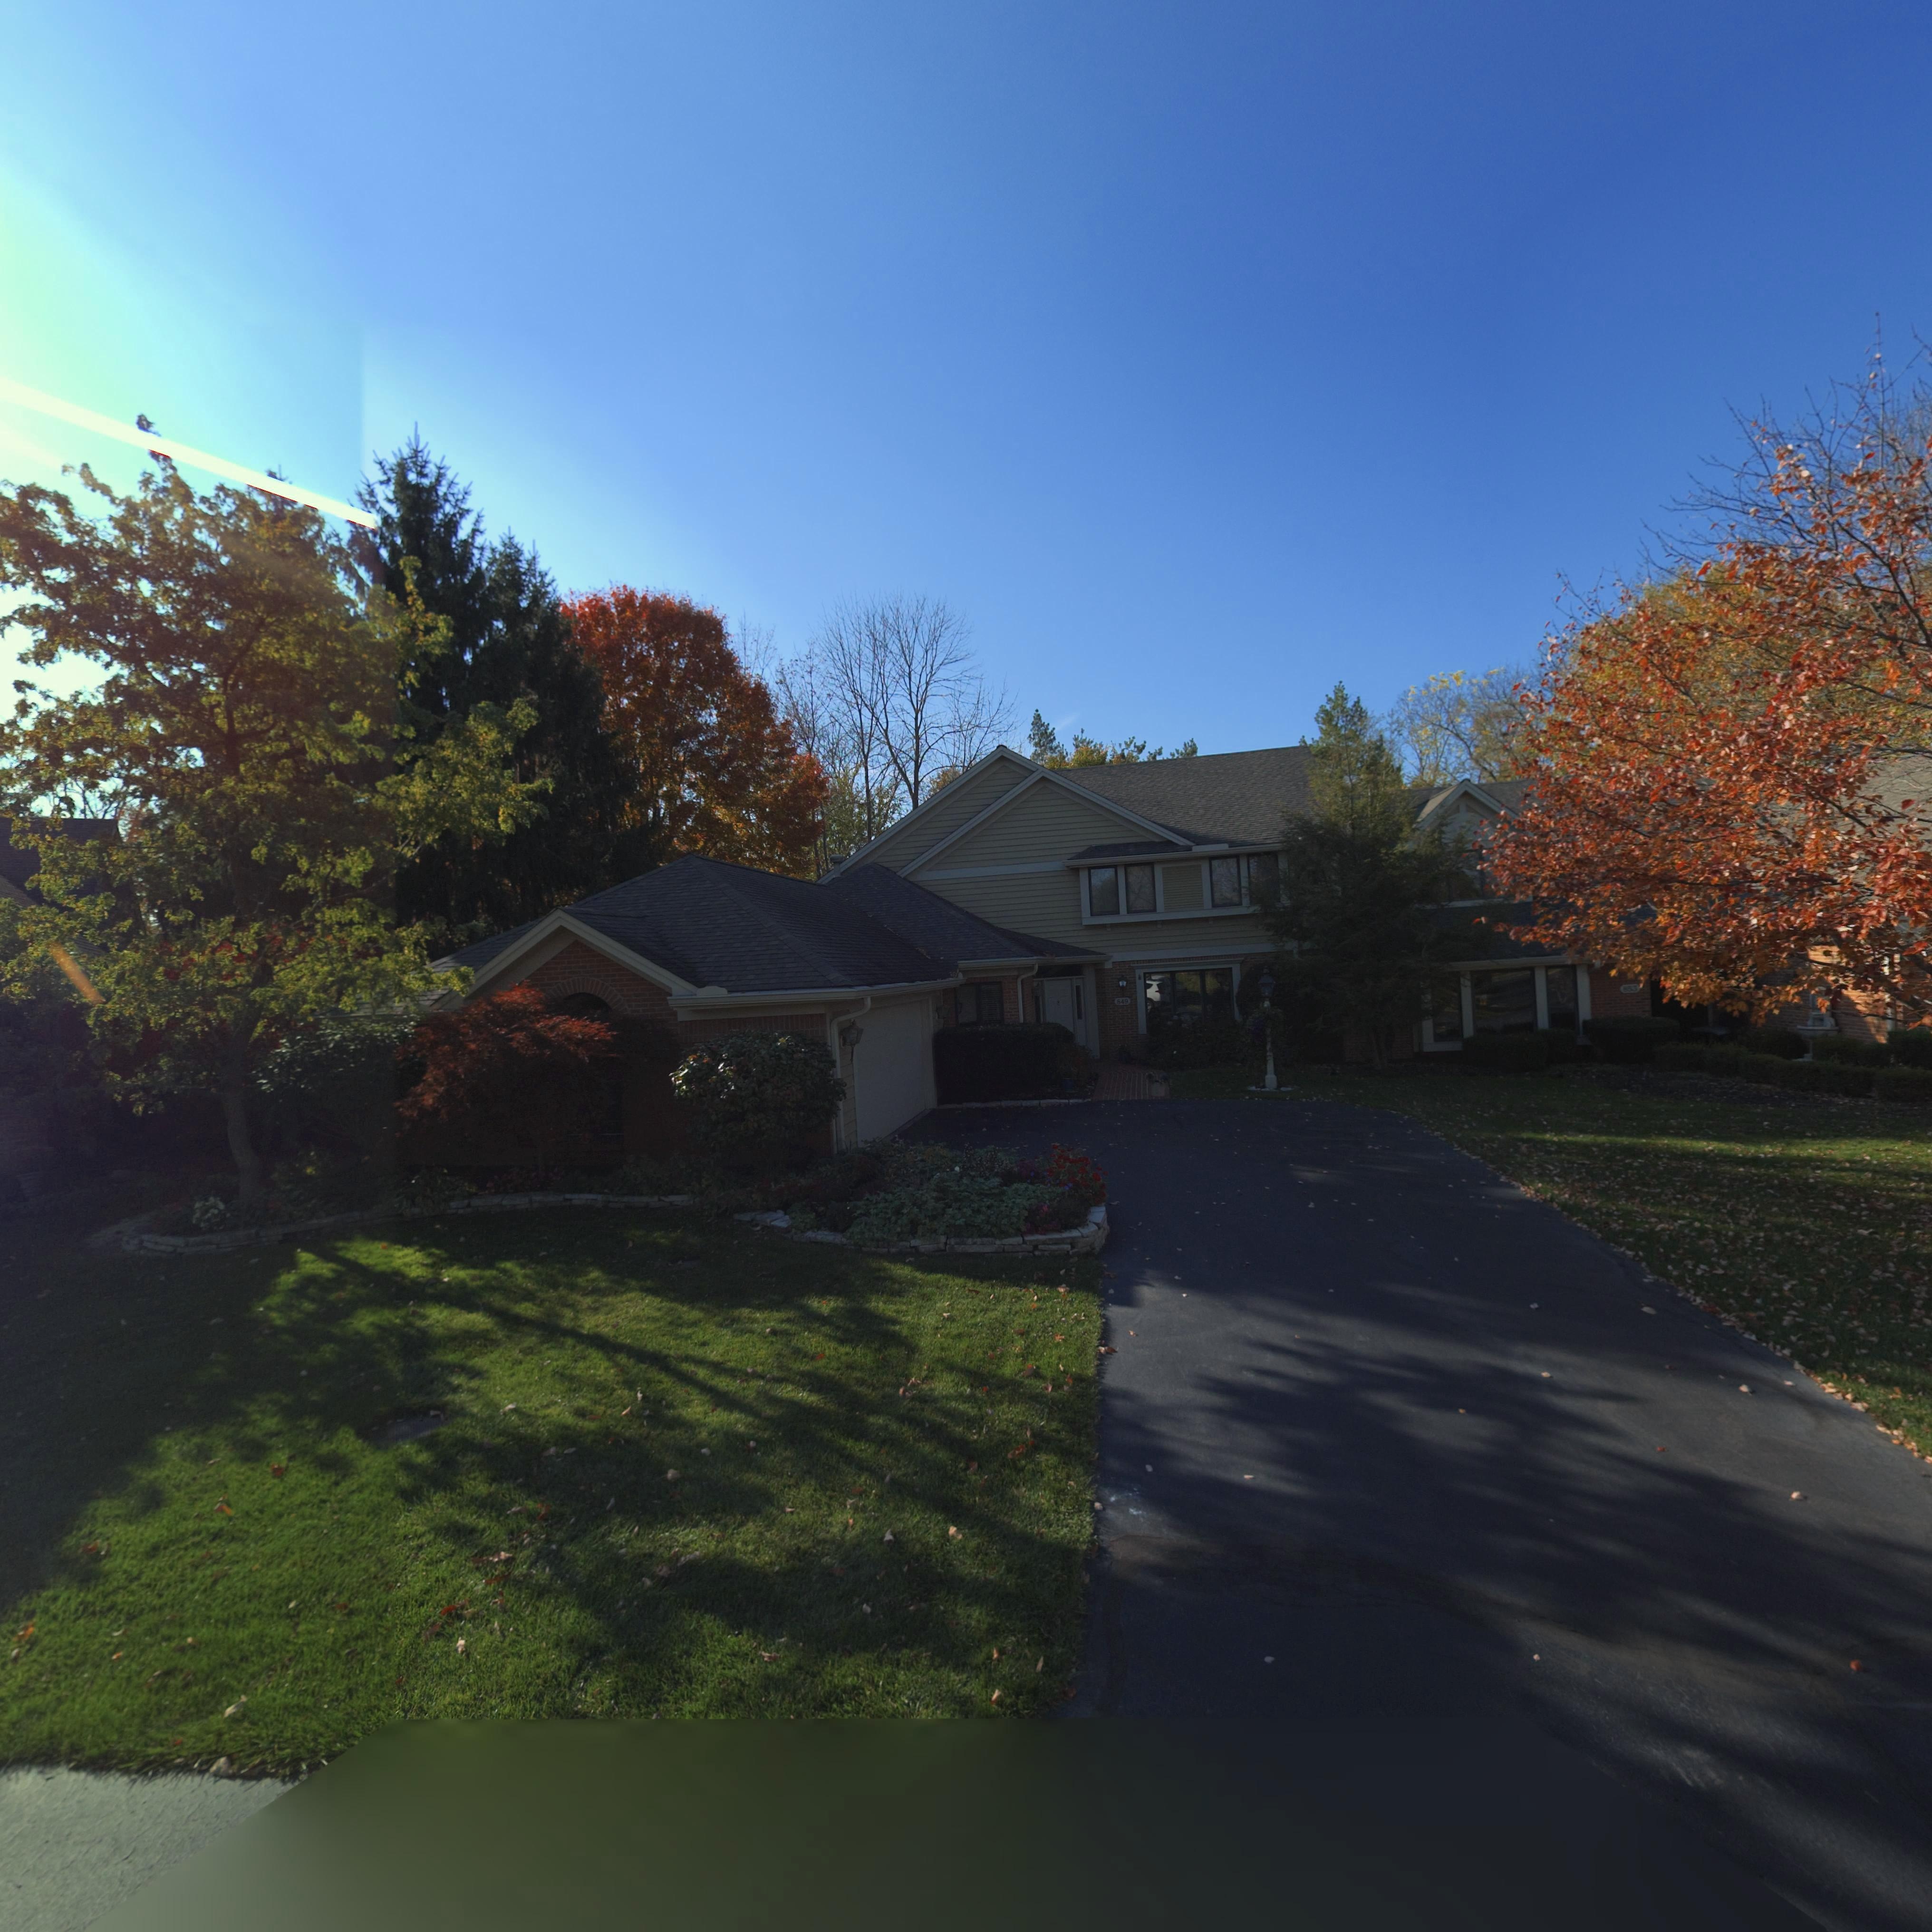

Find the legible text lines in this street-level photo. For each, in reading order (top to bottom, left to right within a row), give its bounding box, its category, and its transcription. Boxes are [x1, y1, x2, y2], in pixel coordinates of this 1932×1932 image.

[1623, 985, 1637, 992] StreetNumber: 853
[1116, 998, 1129, 1005] StreetNumber: 849